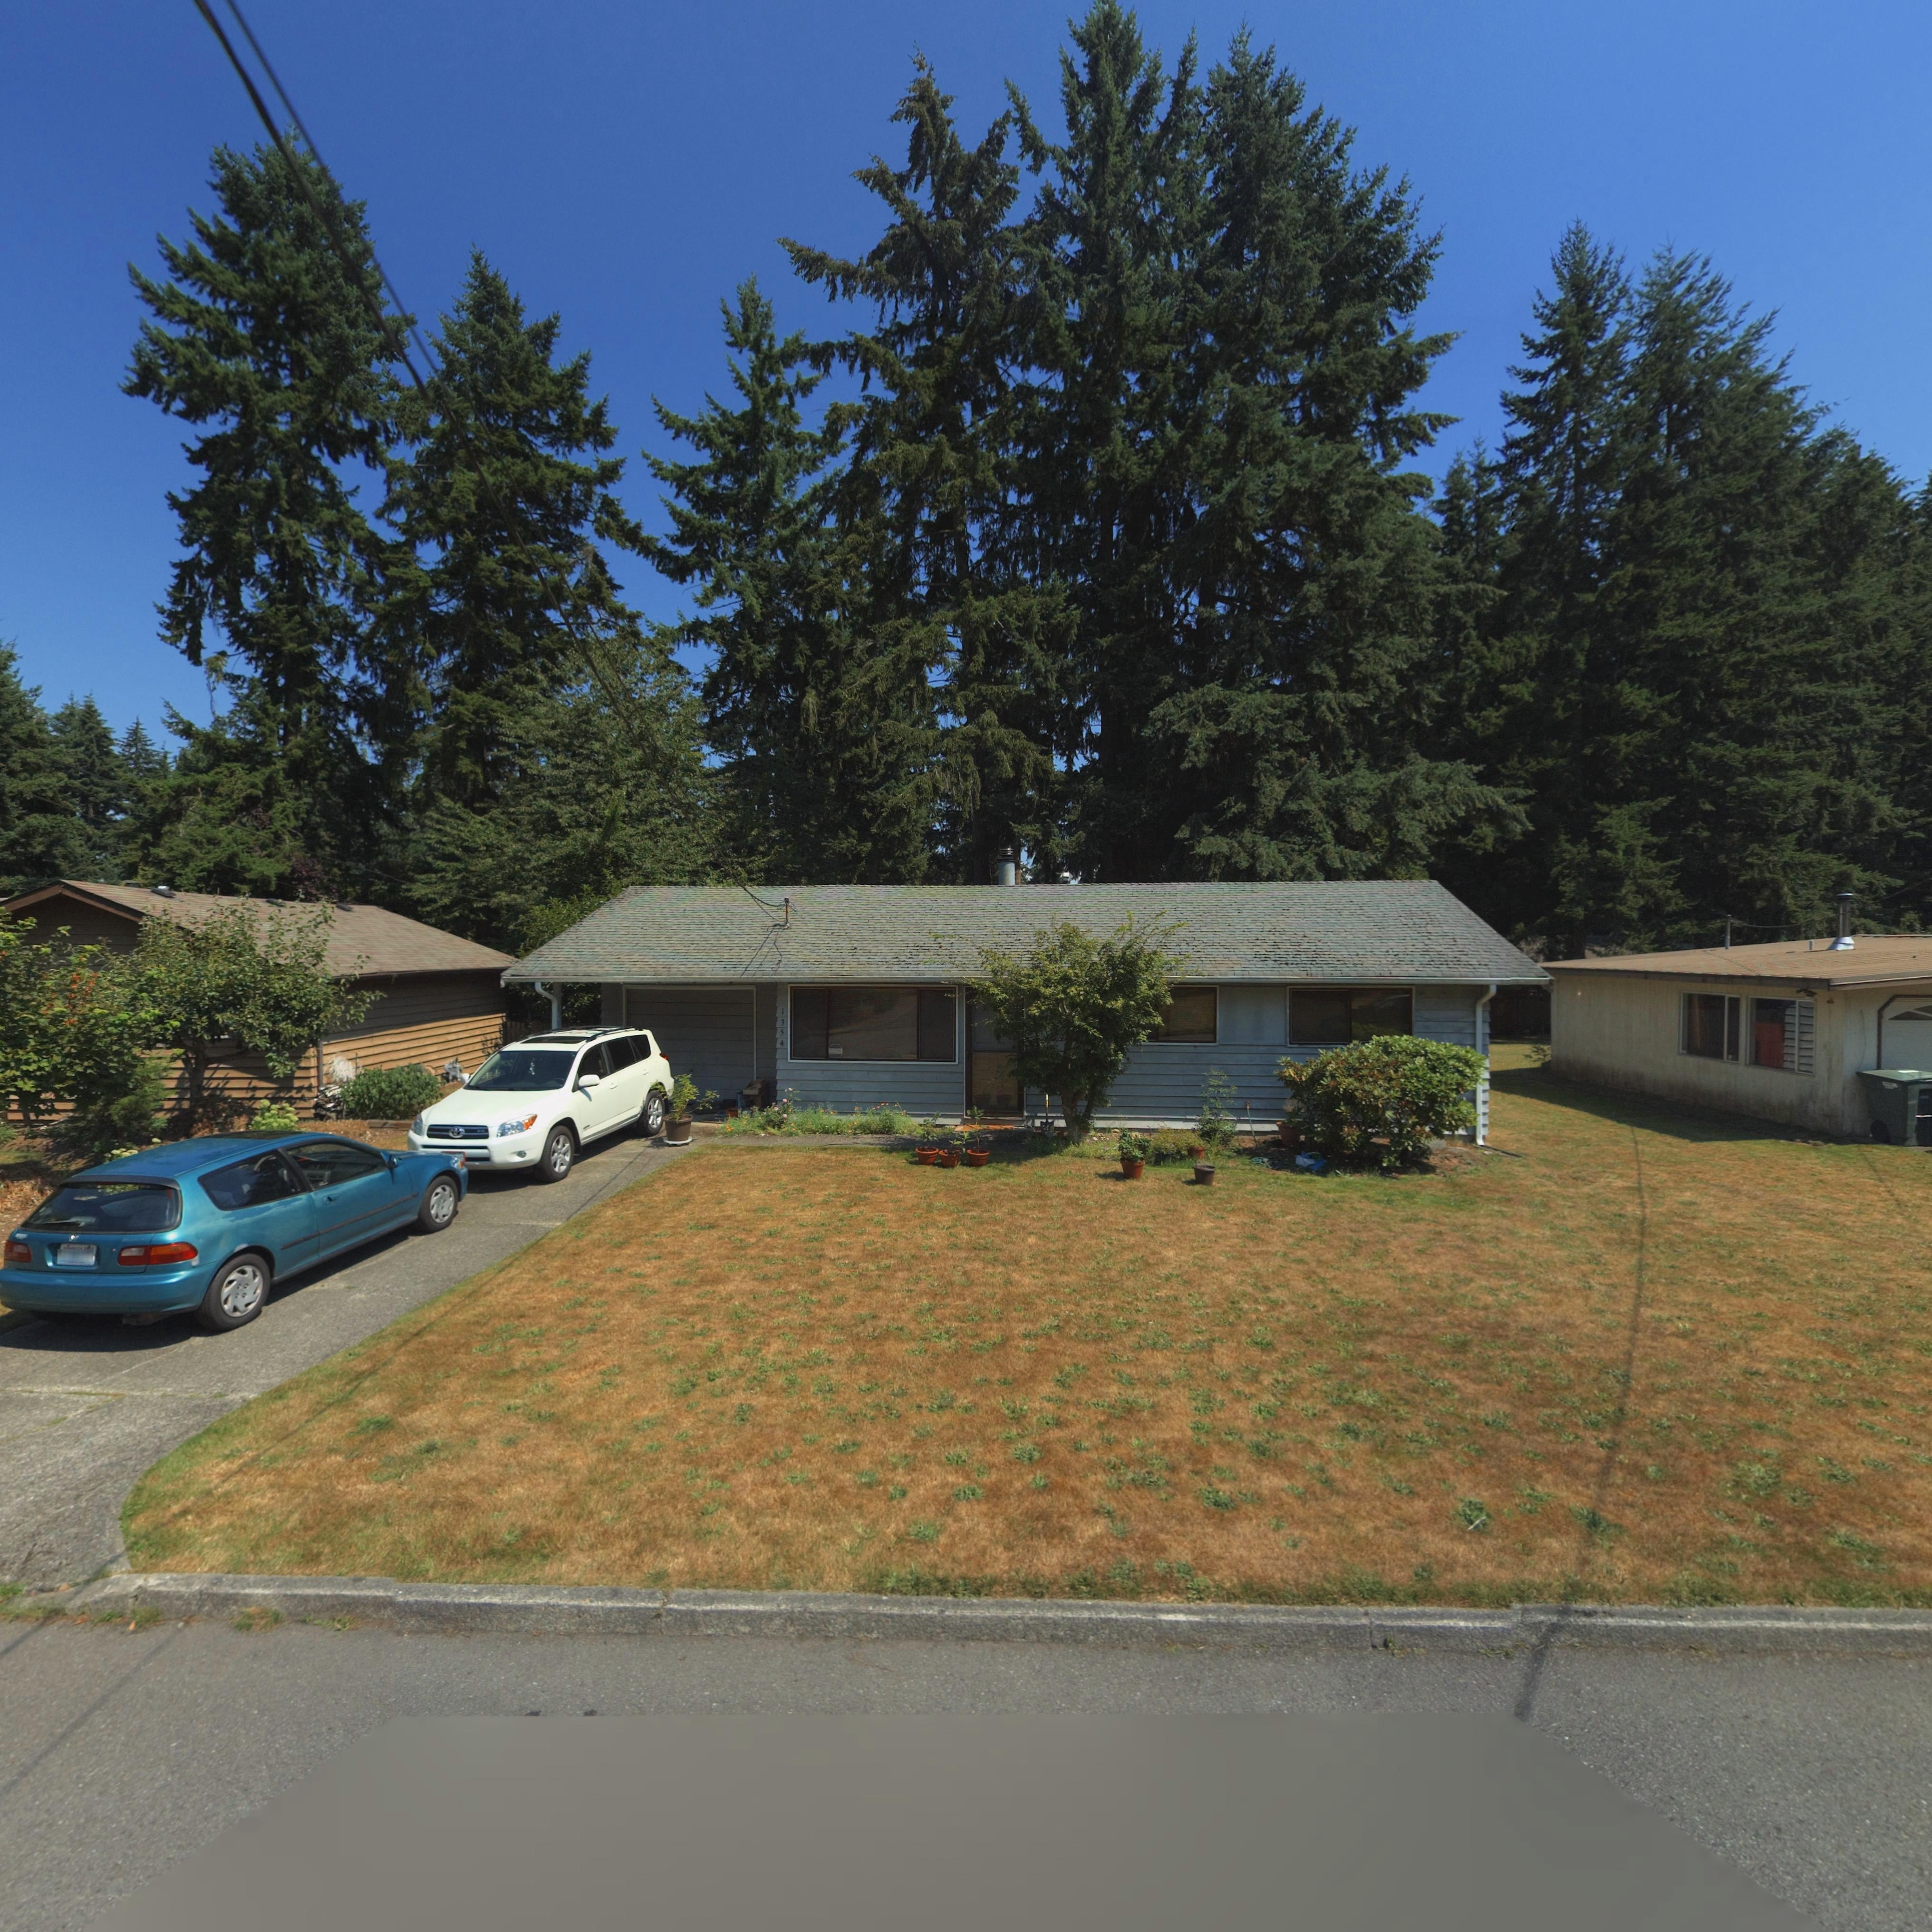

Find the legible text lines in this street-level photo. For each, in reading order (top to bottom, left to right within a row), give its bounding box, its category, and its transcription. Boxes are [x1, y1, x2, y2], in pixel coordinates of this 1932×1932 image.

[779, 1006, 783, 1047] StreetNumber: 1354